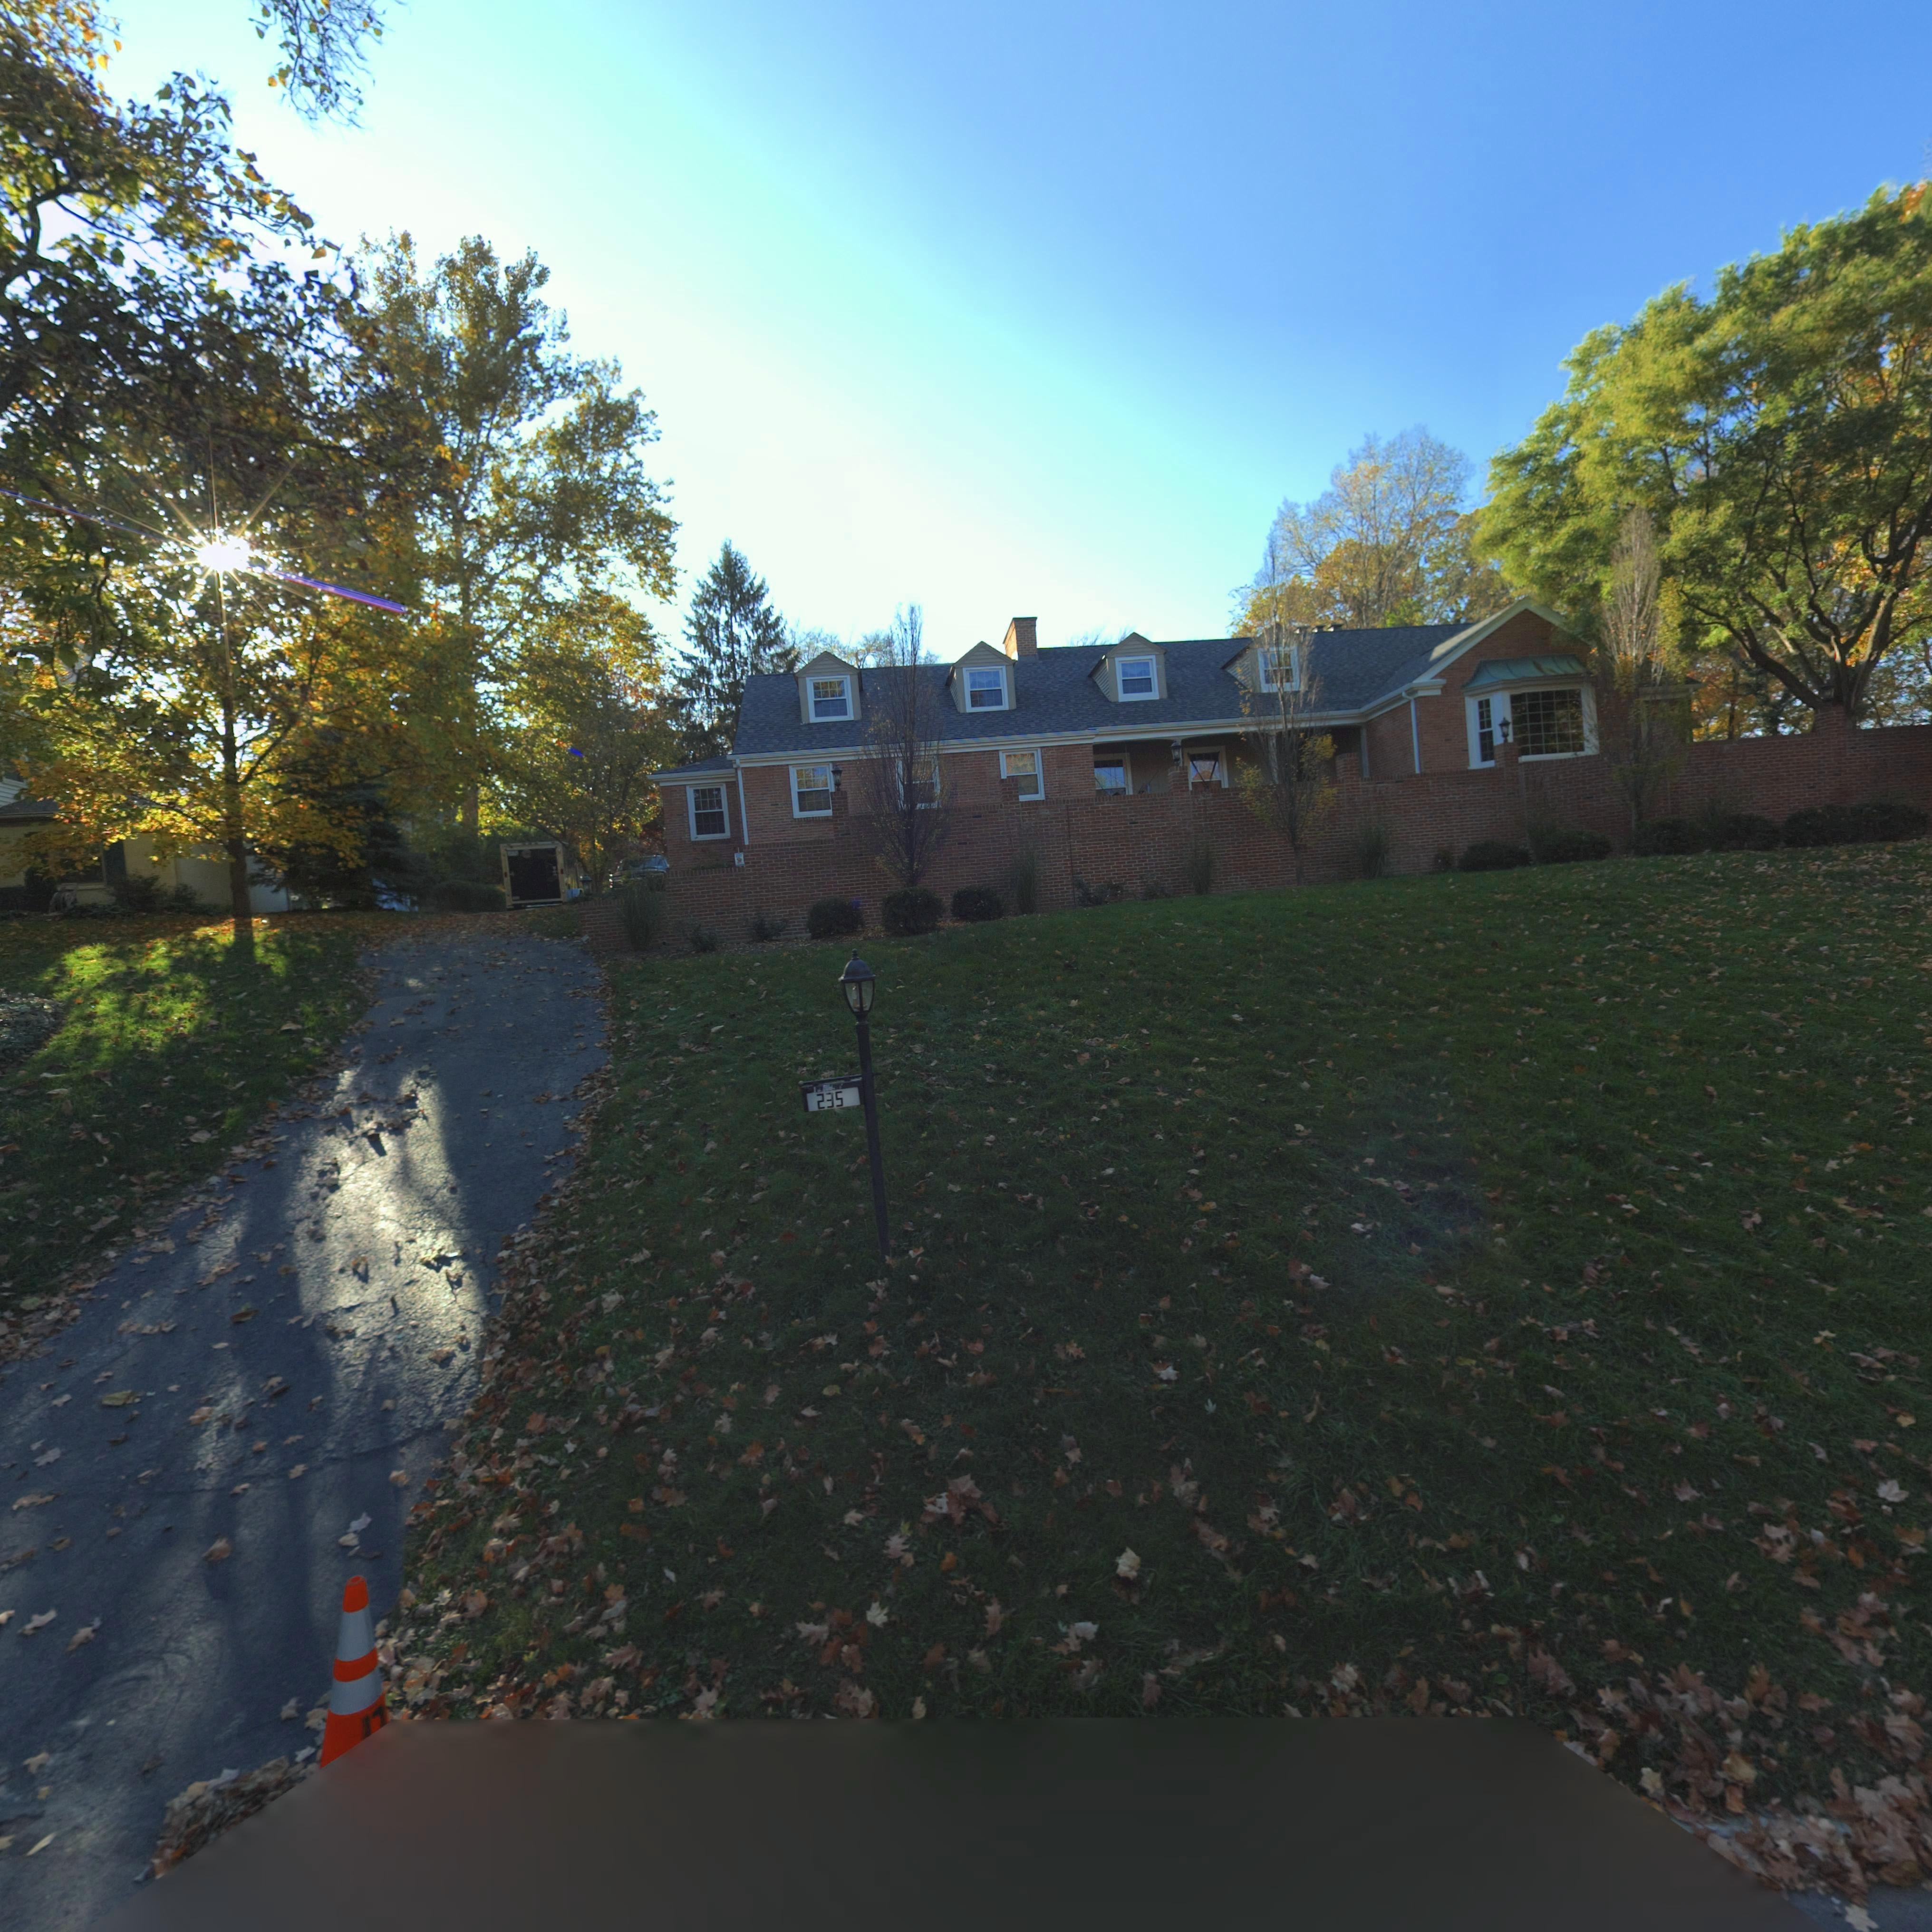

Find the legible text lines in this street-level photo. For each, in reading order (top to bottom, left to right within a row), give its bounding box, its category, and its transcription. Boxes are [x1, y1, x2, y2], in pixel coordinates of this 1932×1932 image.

[815, 1089, 845, 1111] StreetNumber: 235